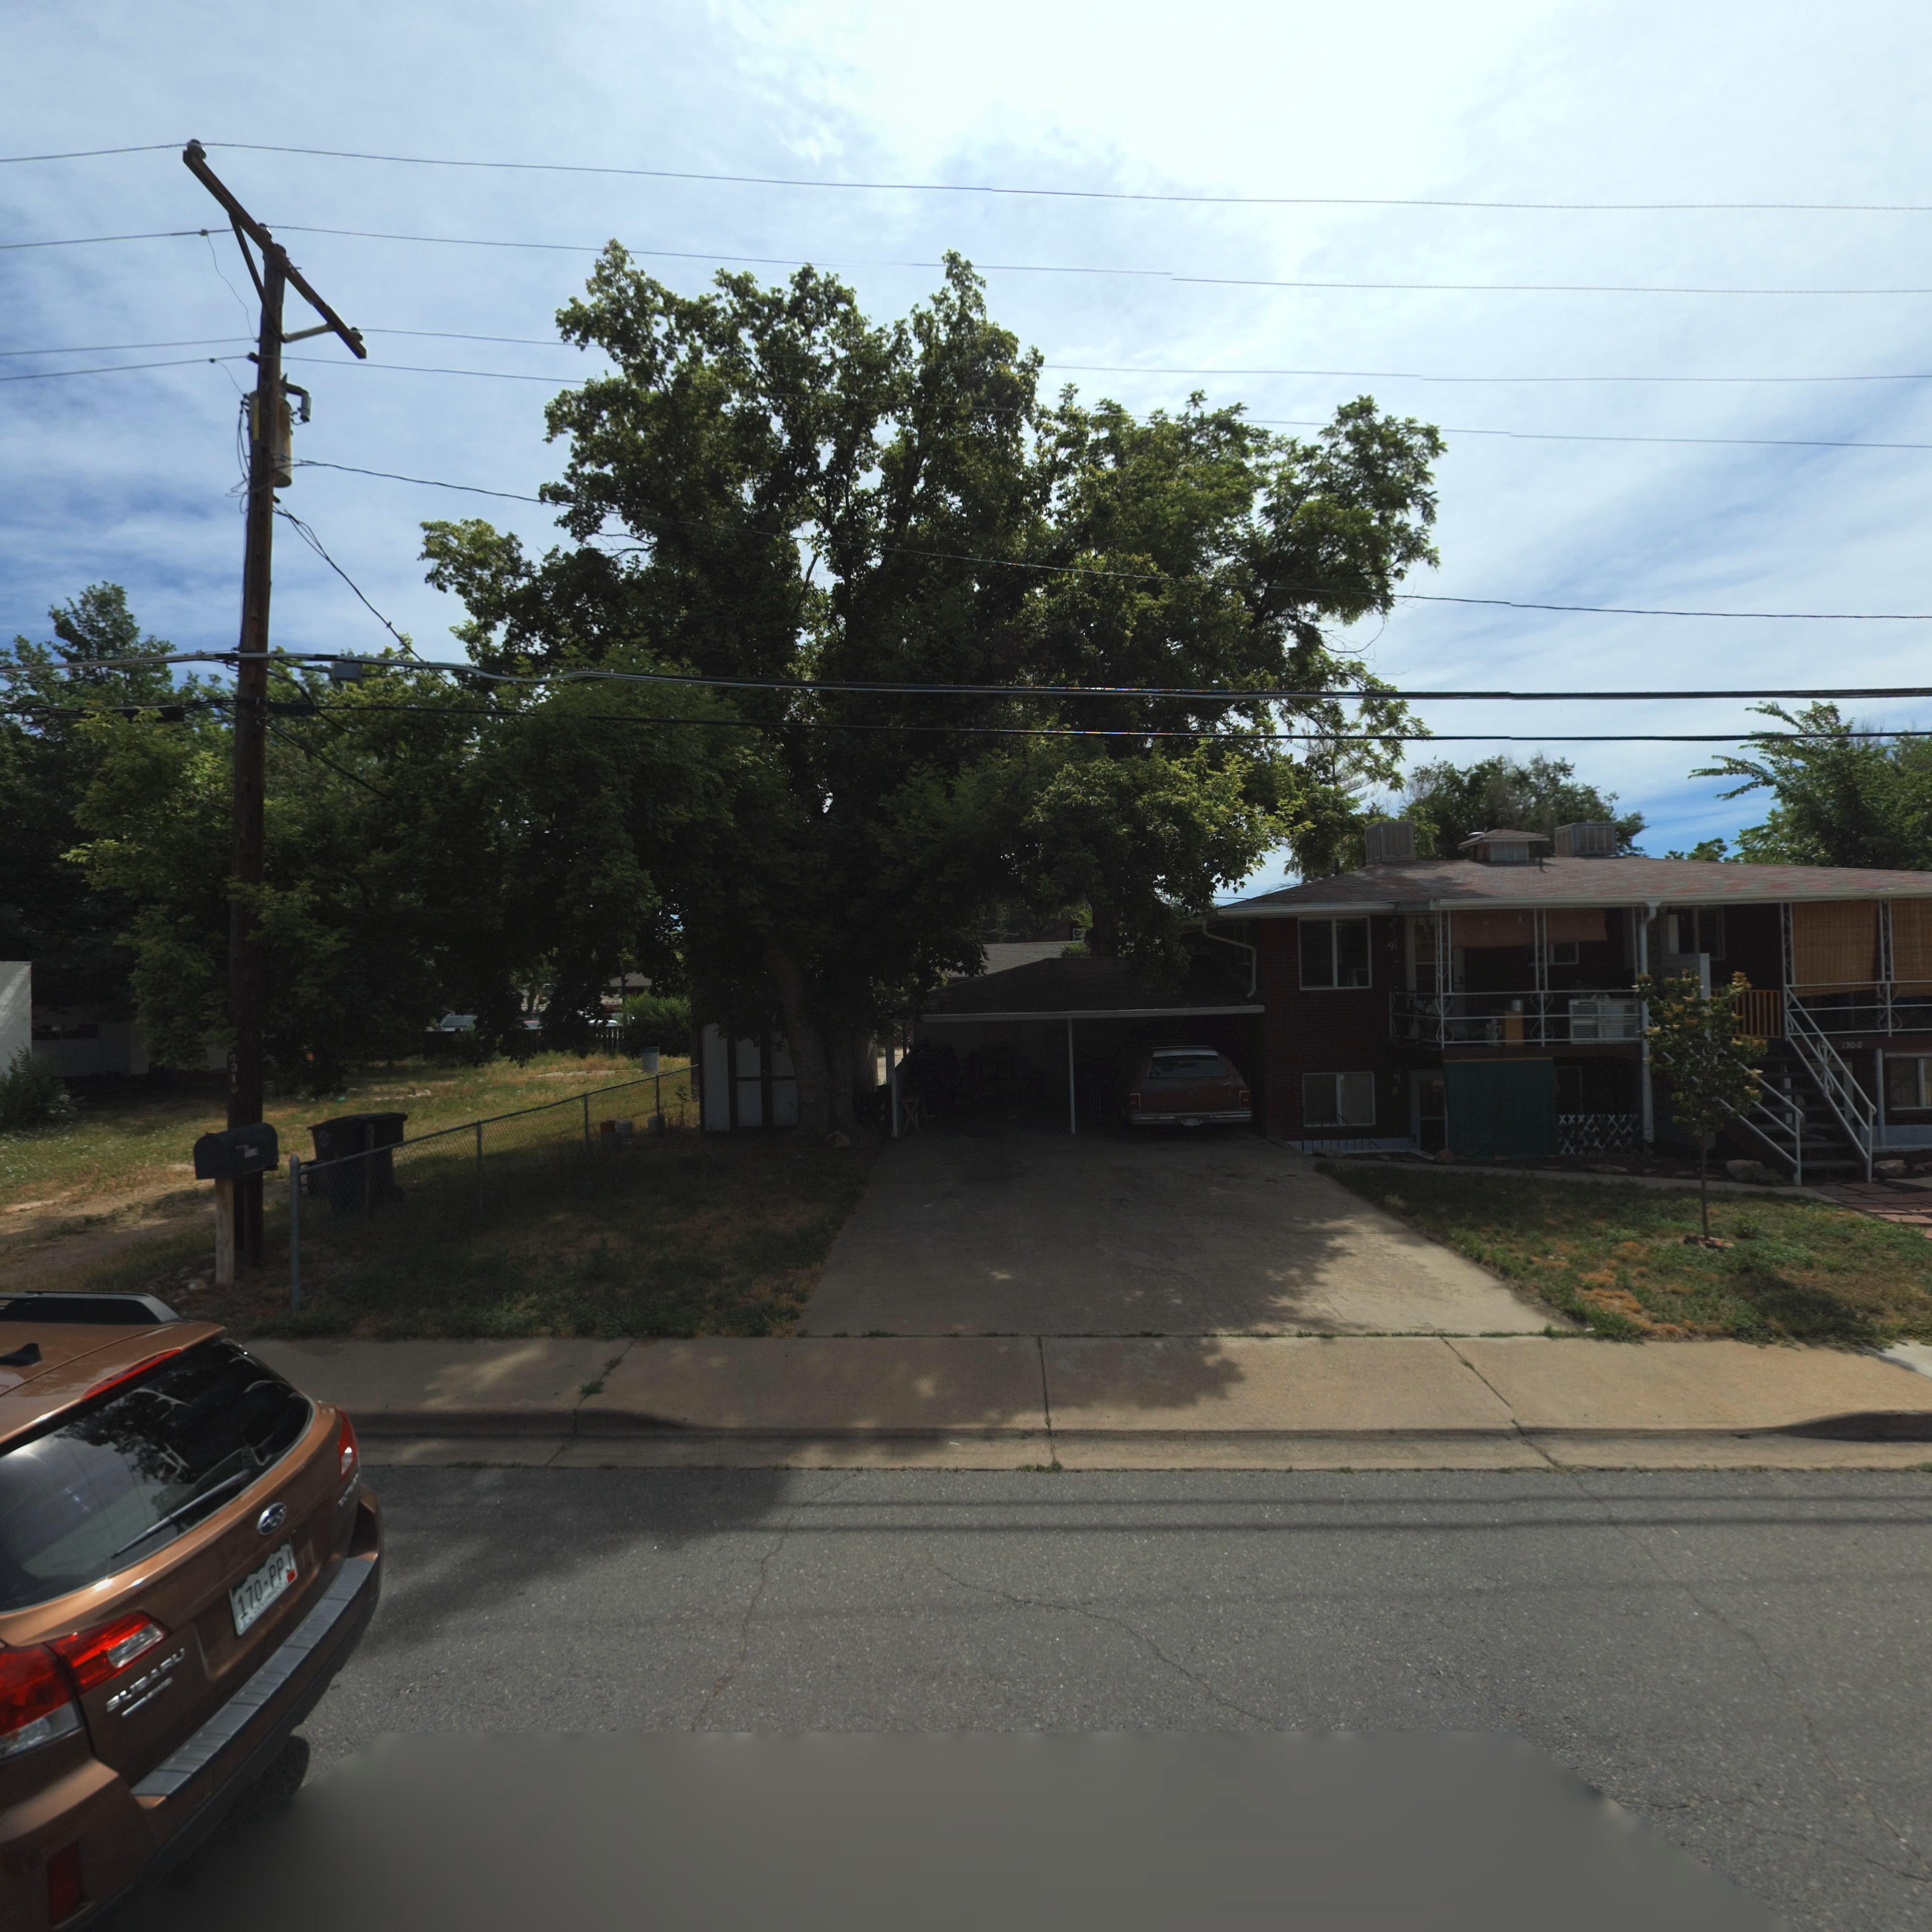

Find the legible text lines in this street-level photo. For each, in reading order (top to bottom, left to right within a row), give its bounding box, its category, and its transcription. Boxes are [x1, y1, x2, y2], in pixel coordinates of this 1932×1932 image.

[1387, 940, 1394, 951] StreetNumber: 9
[1842, 1041, 1863, 1049] StreetNumber: 1300
[1391, 1085, 1398, 1096] StreetNumber: 8